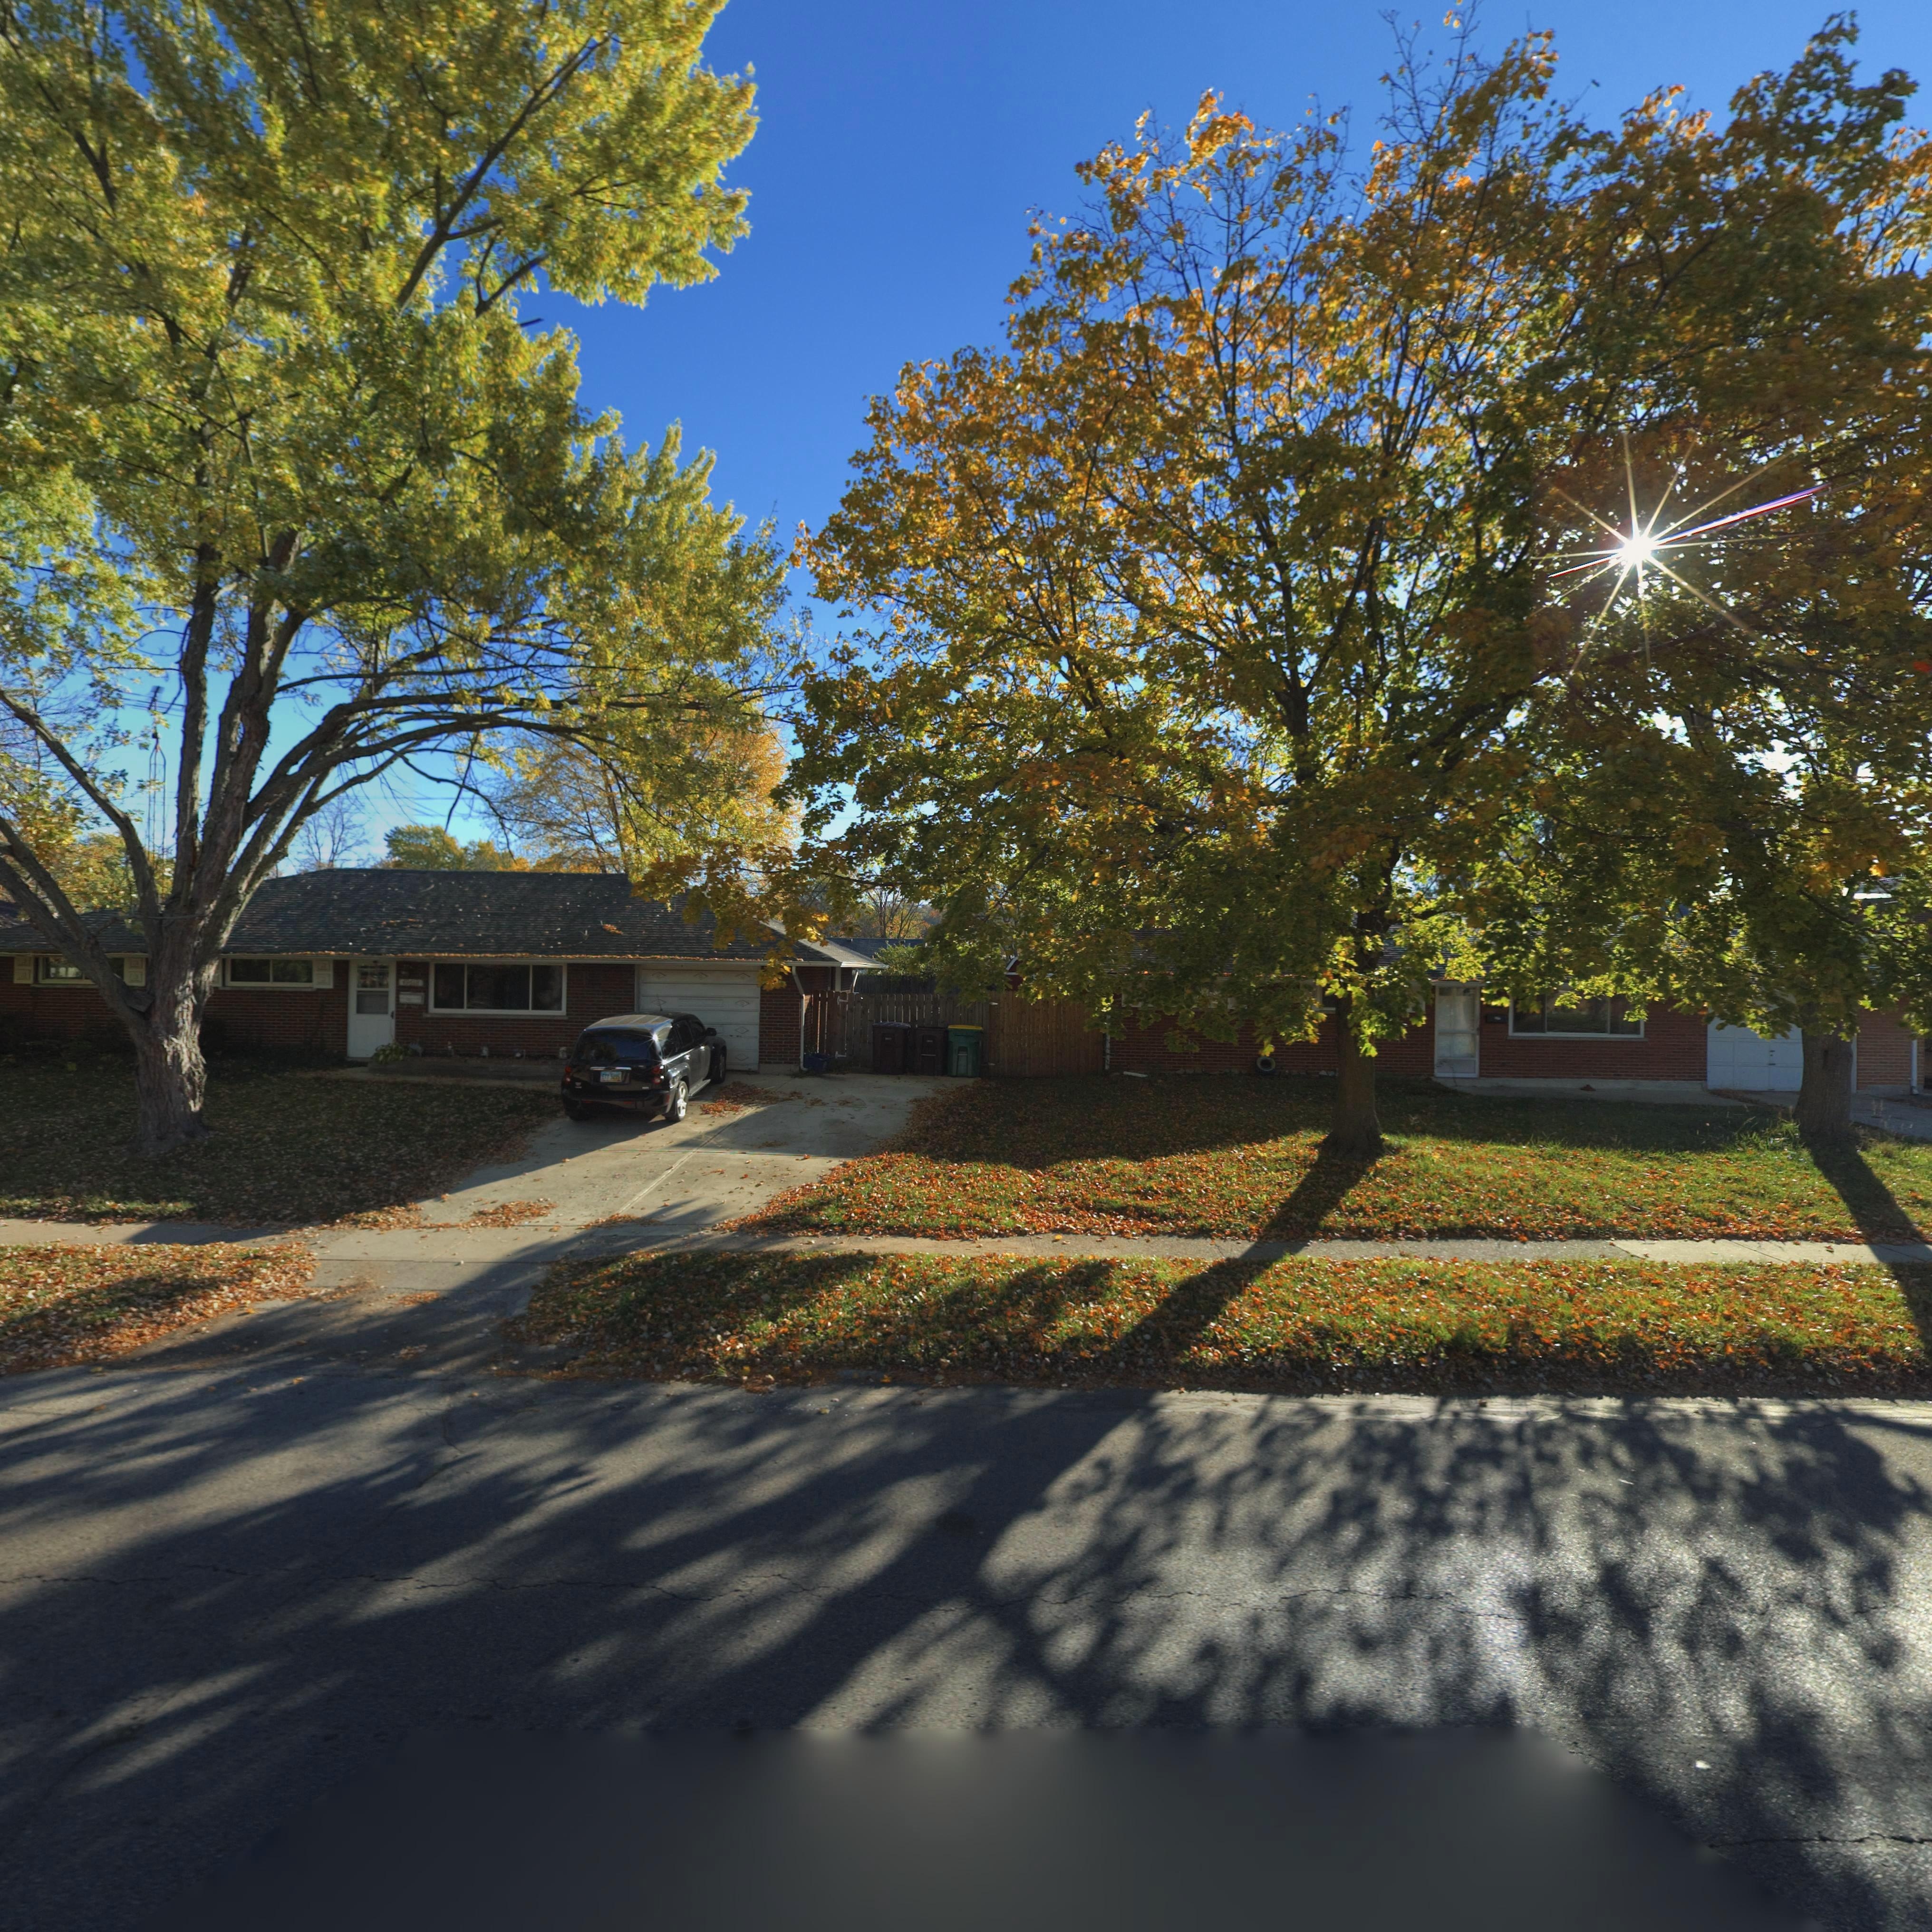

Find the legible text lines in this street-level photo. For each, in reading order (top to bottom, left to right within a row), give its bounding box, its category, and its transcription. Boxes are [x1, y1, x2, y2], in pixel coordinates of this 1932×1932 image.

[401, 979, 420, 985] StreetNumber: 4968